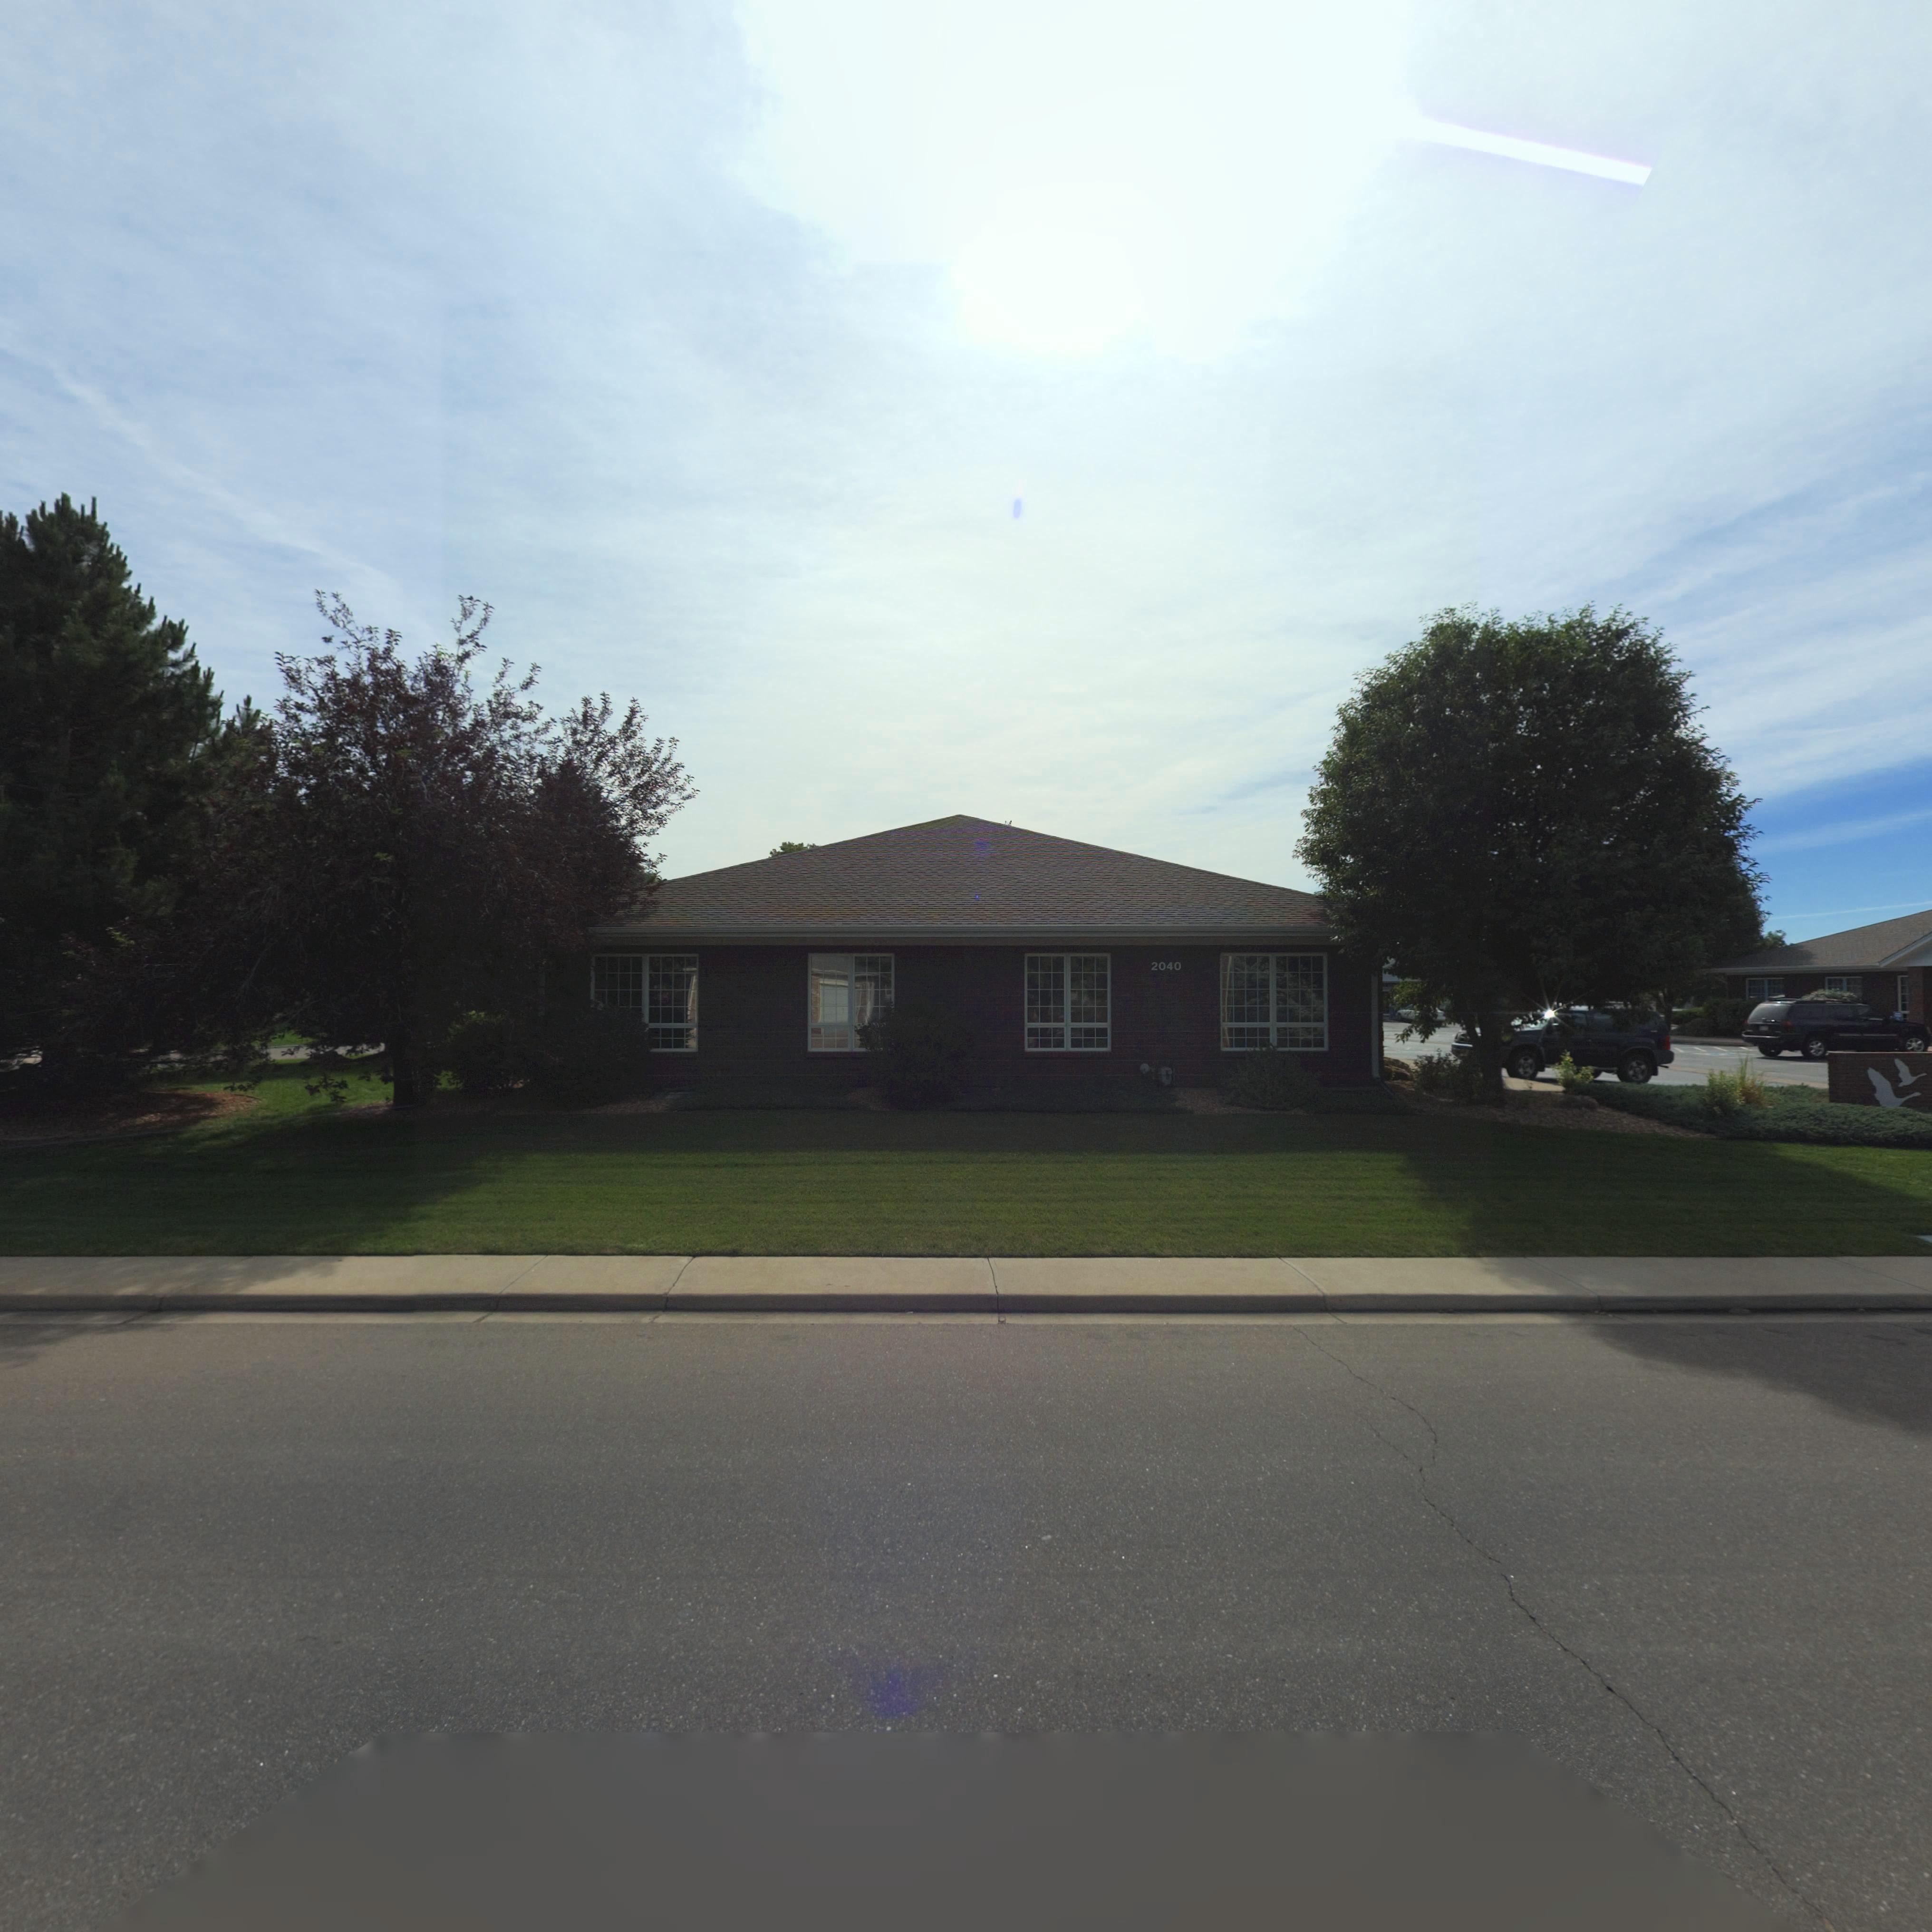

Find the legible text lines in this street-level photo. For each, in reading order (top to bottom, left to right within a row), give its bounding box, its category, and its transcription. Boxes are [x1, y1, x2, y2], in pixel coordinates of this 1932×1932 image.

[1150, 961, 1181, 970] StreetNumber: 2040